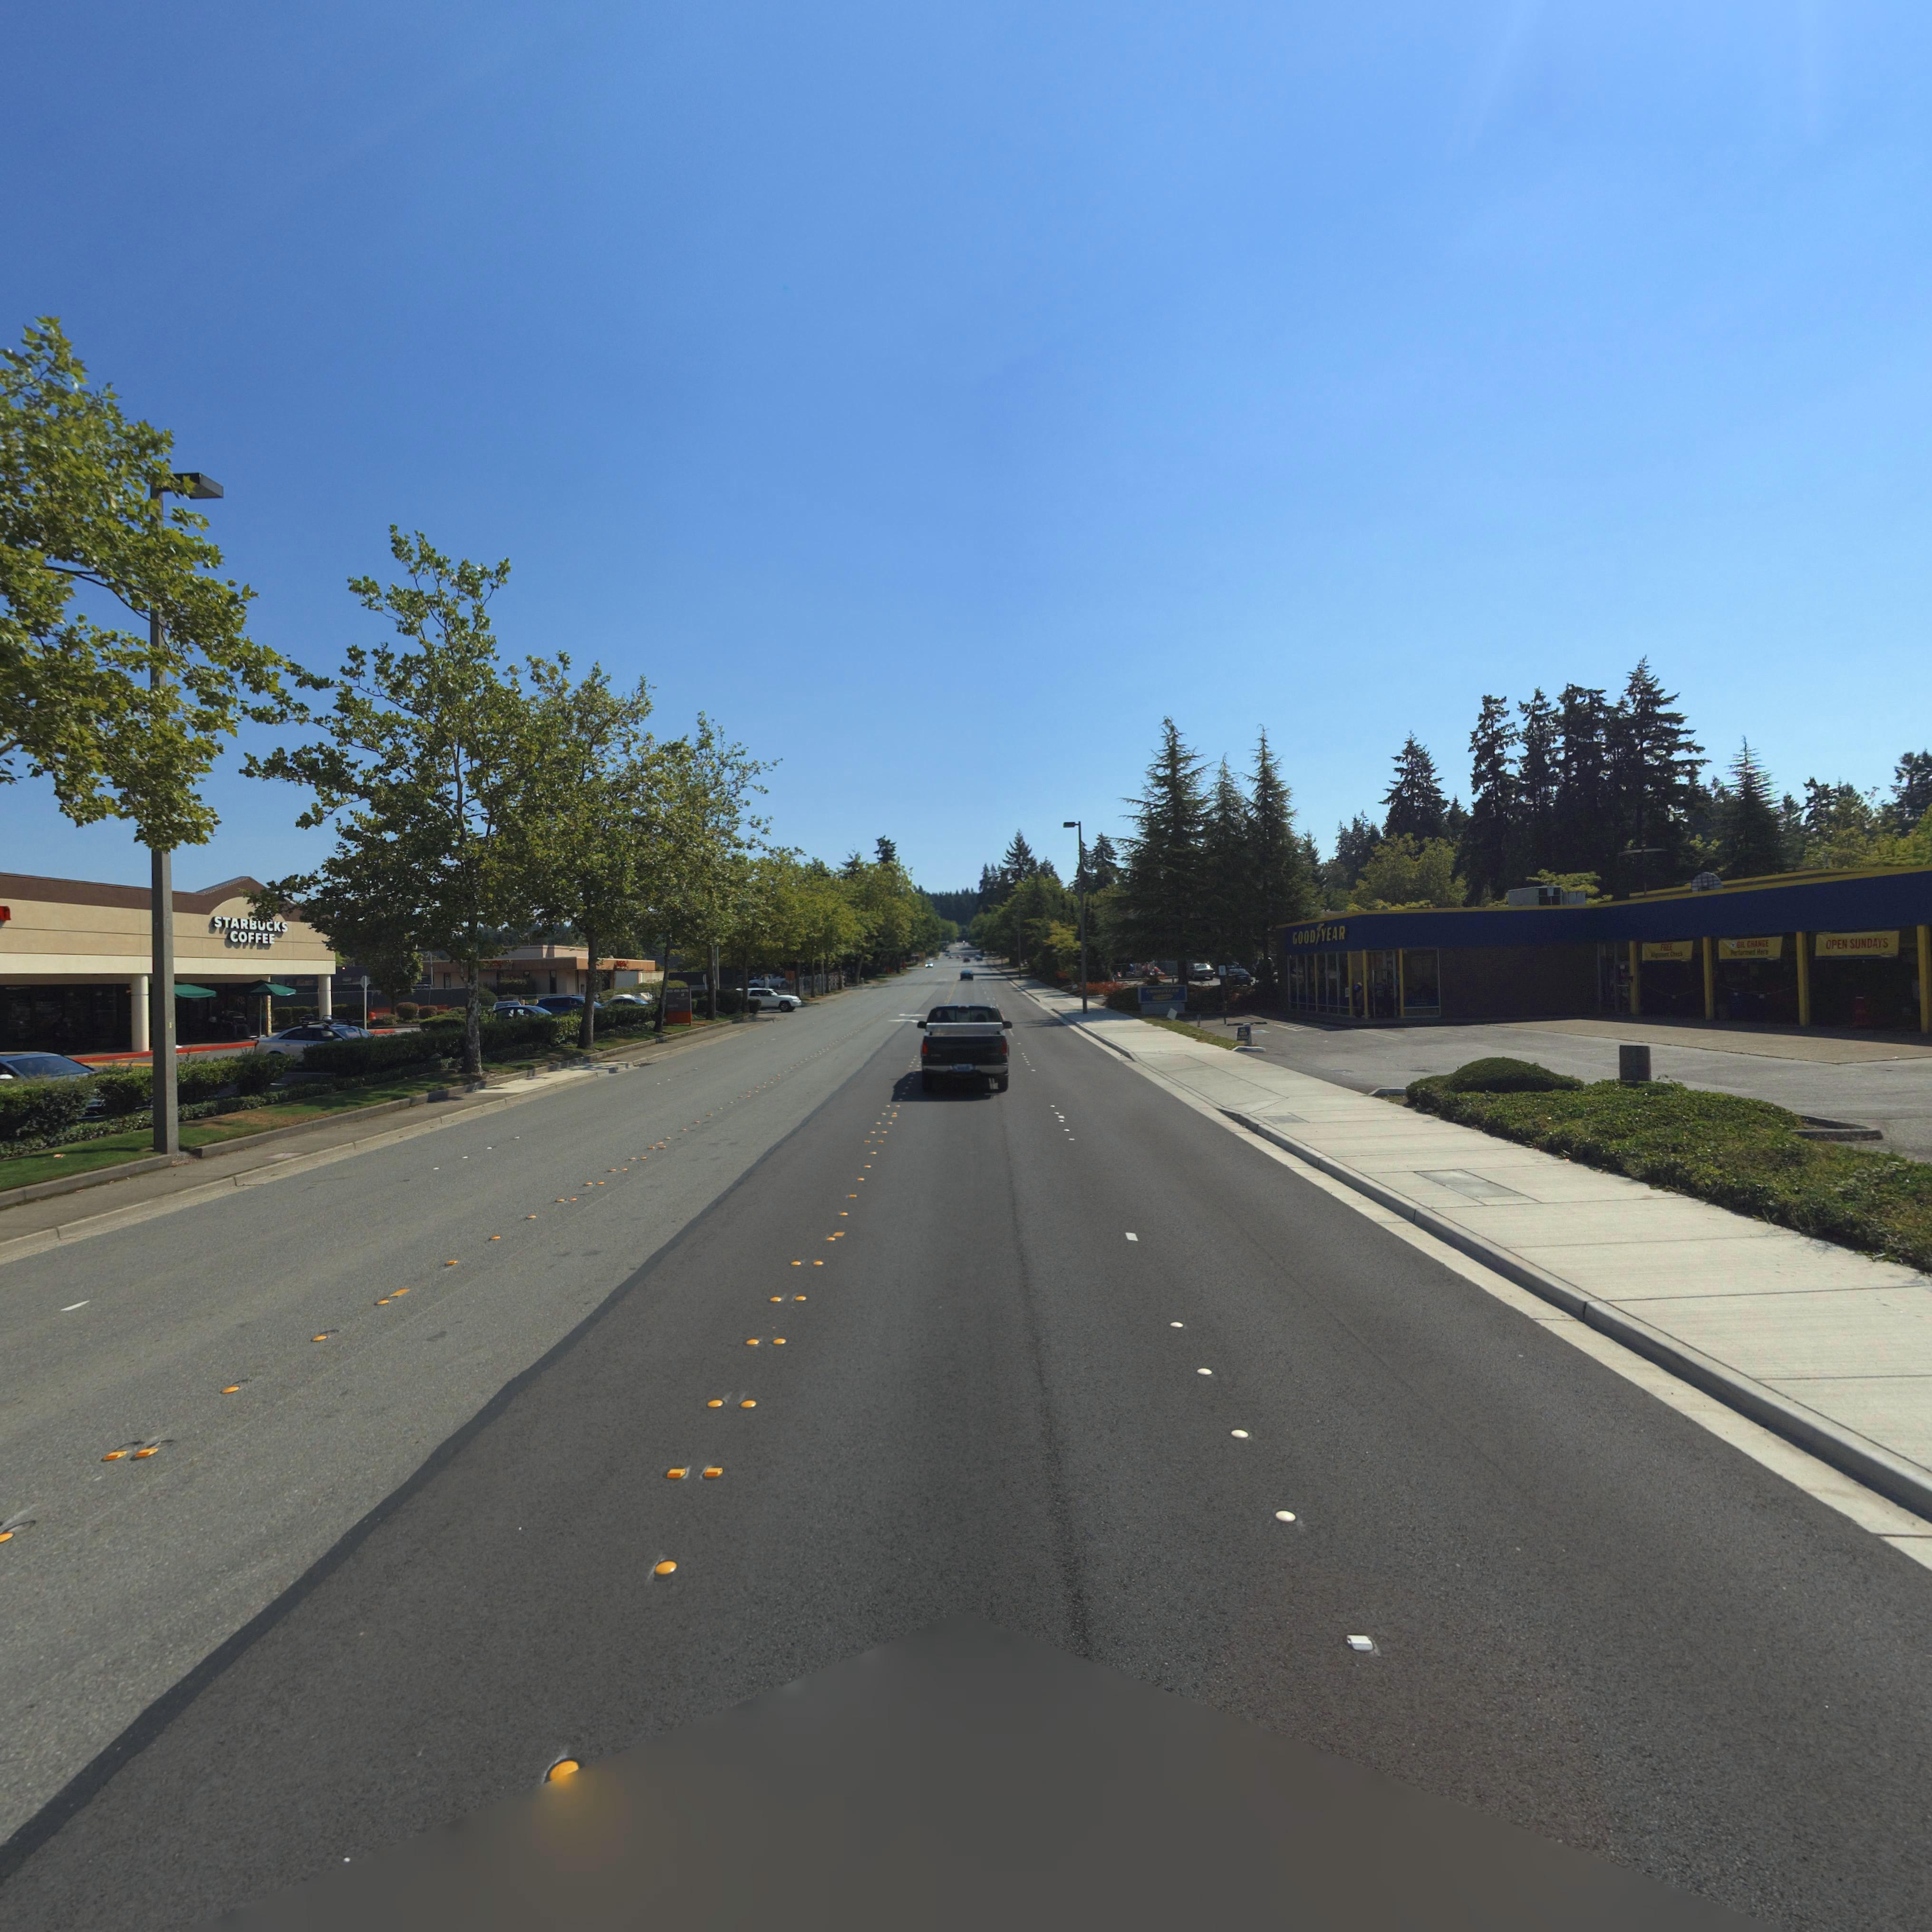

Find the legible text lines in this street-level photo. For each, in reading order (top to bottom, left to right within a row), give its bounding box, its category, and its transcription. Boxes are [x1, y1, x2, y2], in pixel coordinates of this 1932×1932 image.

[214, 916, 288, 932] BusinessName: STAR**CKS
[230, 930, 275, 944] BusinessName: COFFEE
[1293, 925, 1345, 944] BusinessName: GOOD*YEAR